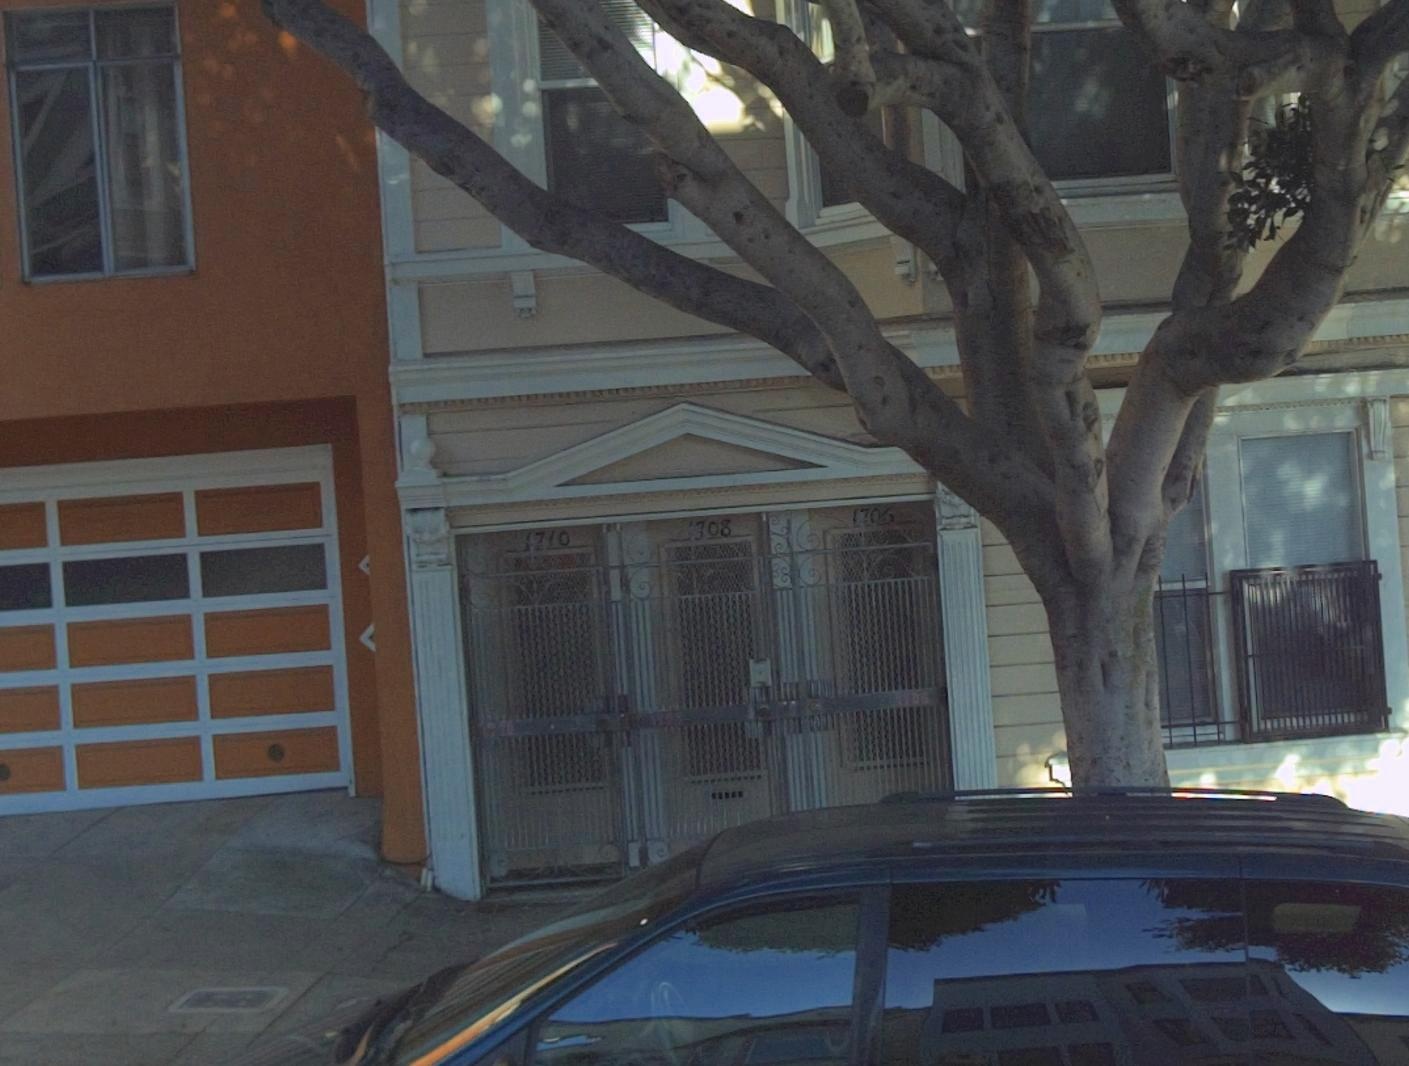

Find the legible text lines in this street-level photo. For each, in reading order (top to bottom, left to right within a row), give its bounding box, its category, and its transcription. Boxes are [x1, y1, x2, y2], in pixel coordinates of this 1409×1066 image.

[850, 505, 897, 527] StreetNumber: 1706
[521, 529, 572, 551] StreetNumber: 1710
[685, 517, 732, 542] StreetNumber: 1708